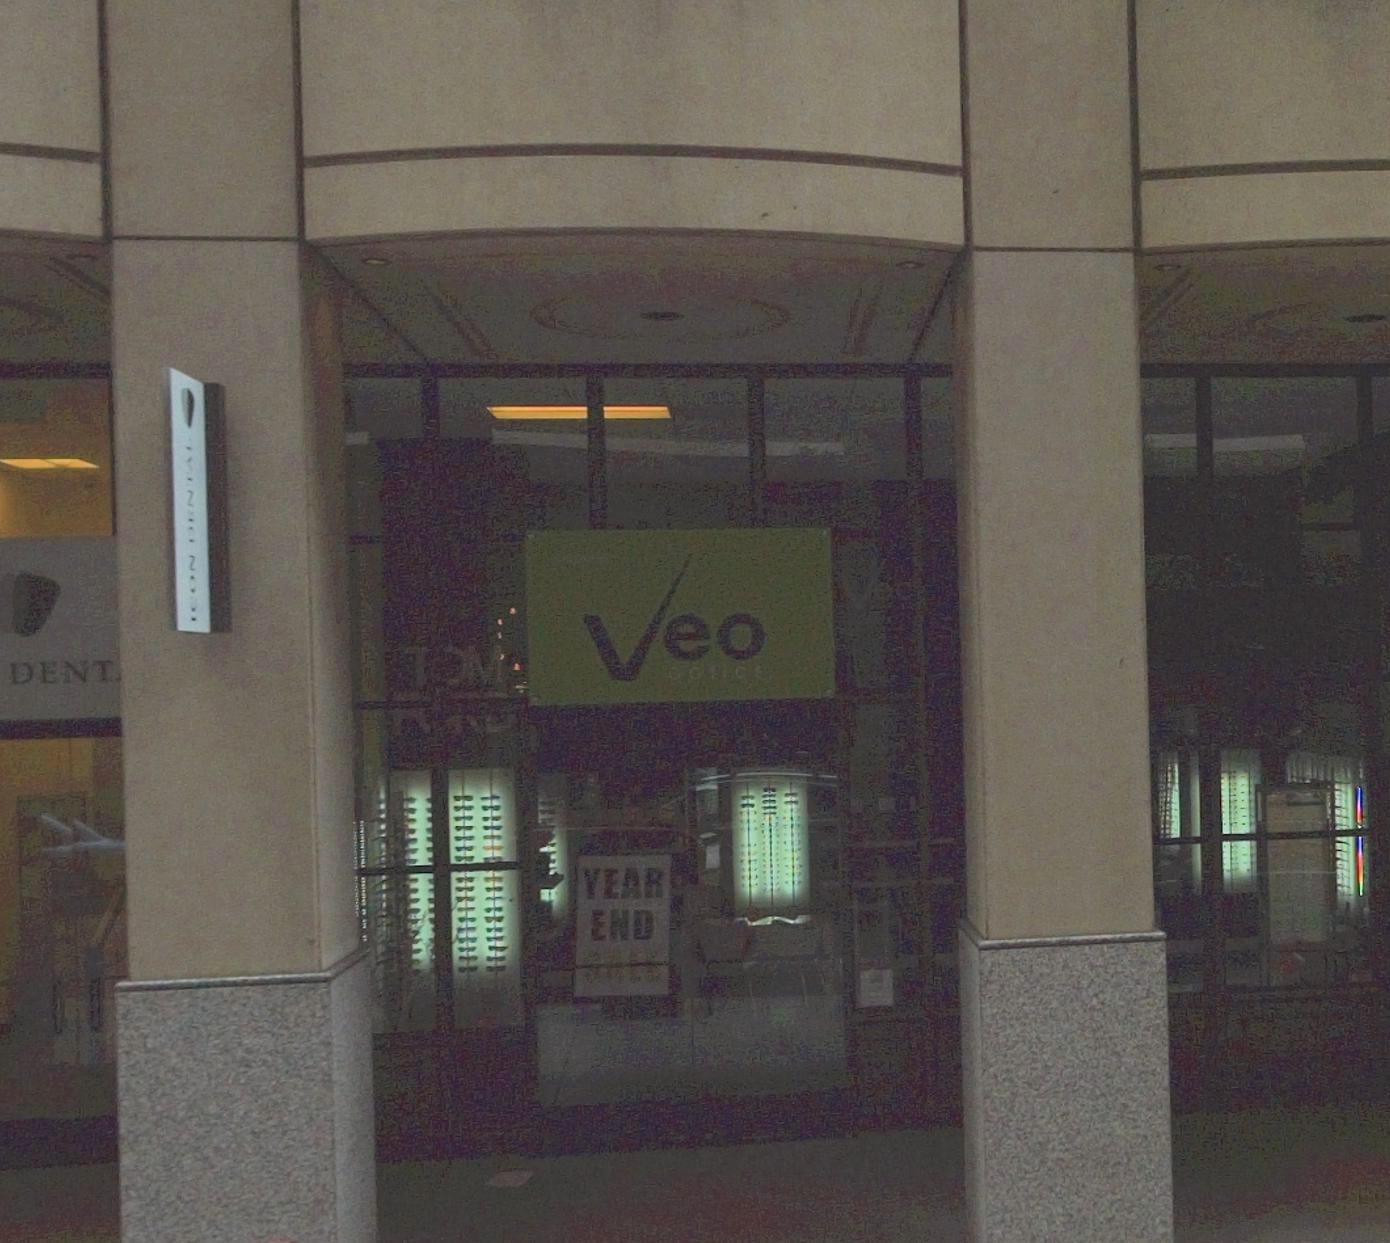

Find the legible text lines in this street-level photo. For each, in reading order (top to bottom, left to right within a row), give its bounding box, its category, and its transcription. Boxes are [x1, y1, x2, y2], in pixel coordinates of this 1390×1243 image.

[182, 436, 200, 624] BusinessName: ICON DENTAL
[570, 607, 771, 688] BusinessName: Veo
[6, 657, 117, 688] BusinessName: DENT
[664, 658, 768, 685] BusinessName: OPTICS
[575, 863, 670, 903] None: YEAR
[587, 905, 659, 944] None: END